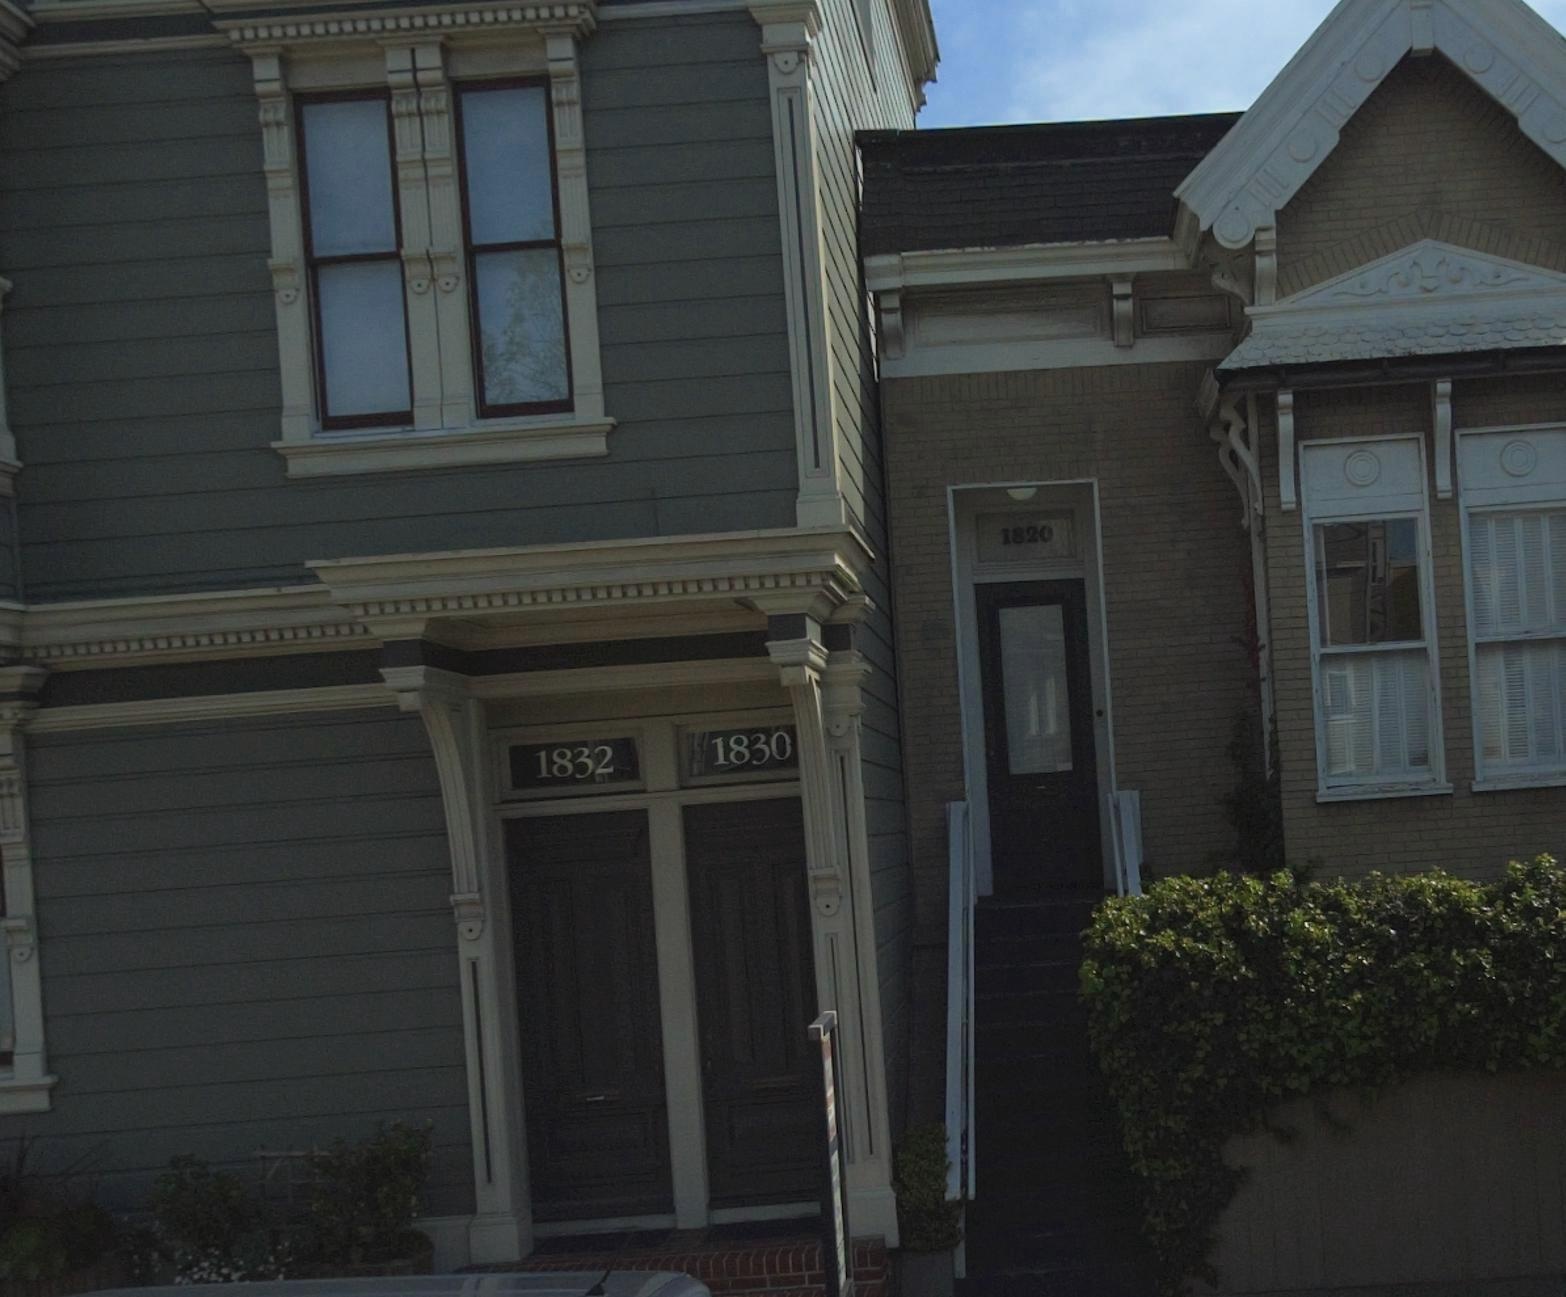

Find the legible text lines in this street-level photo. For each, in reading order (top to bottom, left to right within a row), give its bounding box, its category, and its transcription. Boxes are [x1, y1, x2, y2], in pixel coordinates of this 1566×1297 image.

[999, 522, 1055, 547] StreetNumber: 1820
[533, 744, 617, 781] StreetNumber: 1832
[708, 728, 796, 769] StreetNumber: 1830